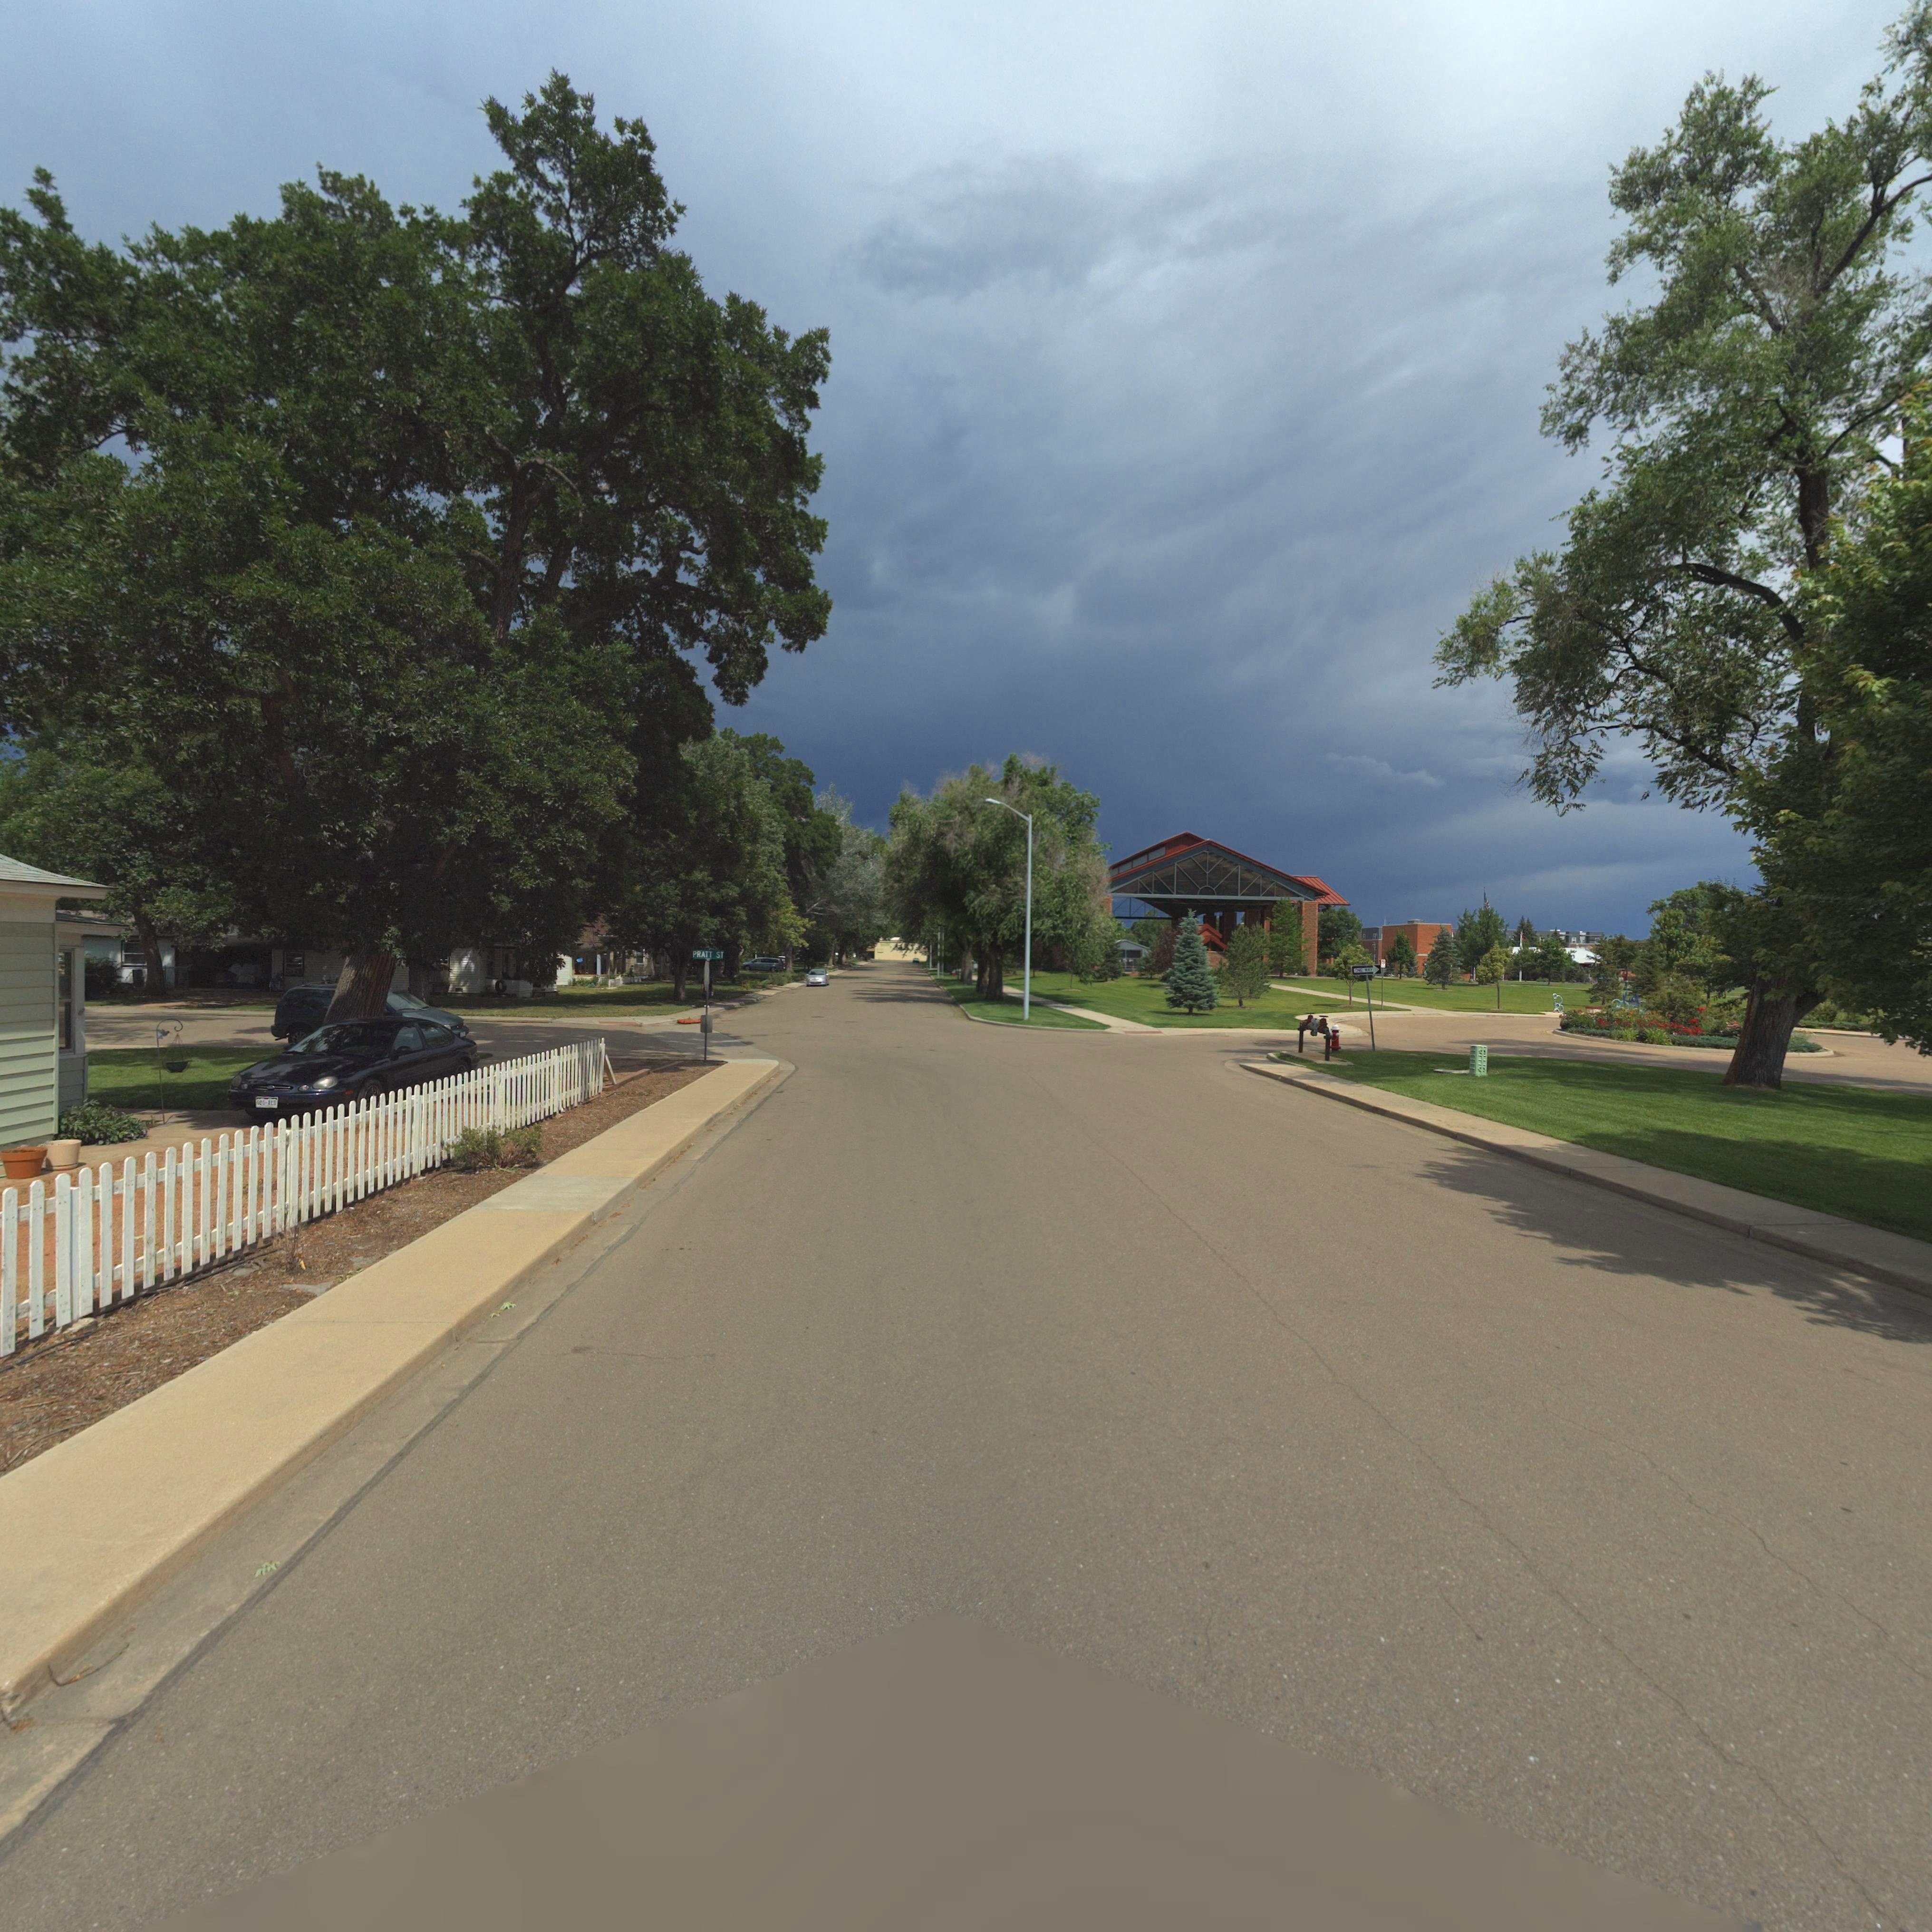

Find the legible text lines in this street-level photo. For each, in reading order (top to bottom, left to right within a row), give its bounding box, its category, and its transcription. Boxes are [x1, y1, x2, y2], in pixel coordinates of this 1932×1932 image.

[692, 950, 724, 958] StreetName: PRATT ST